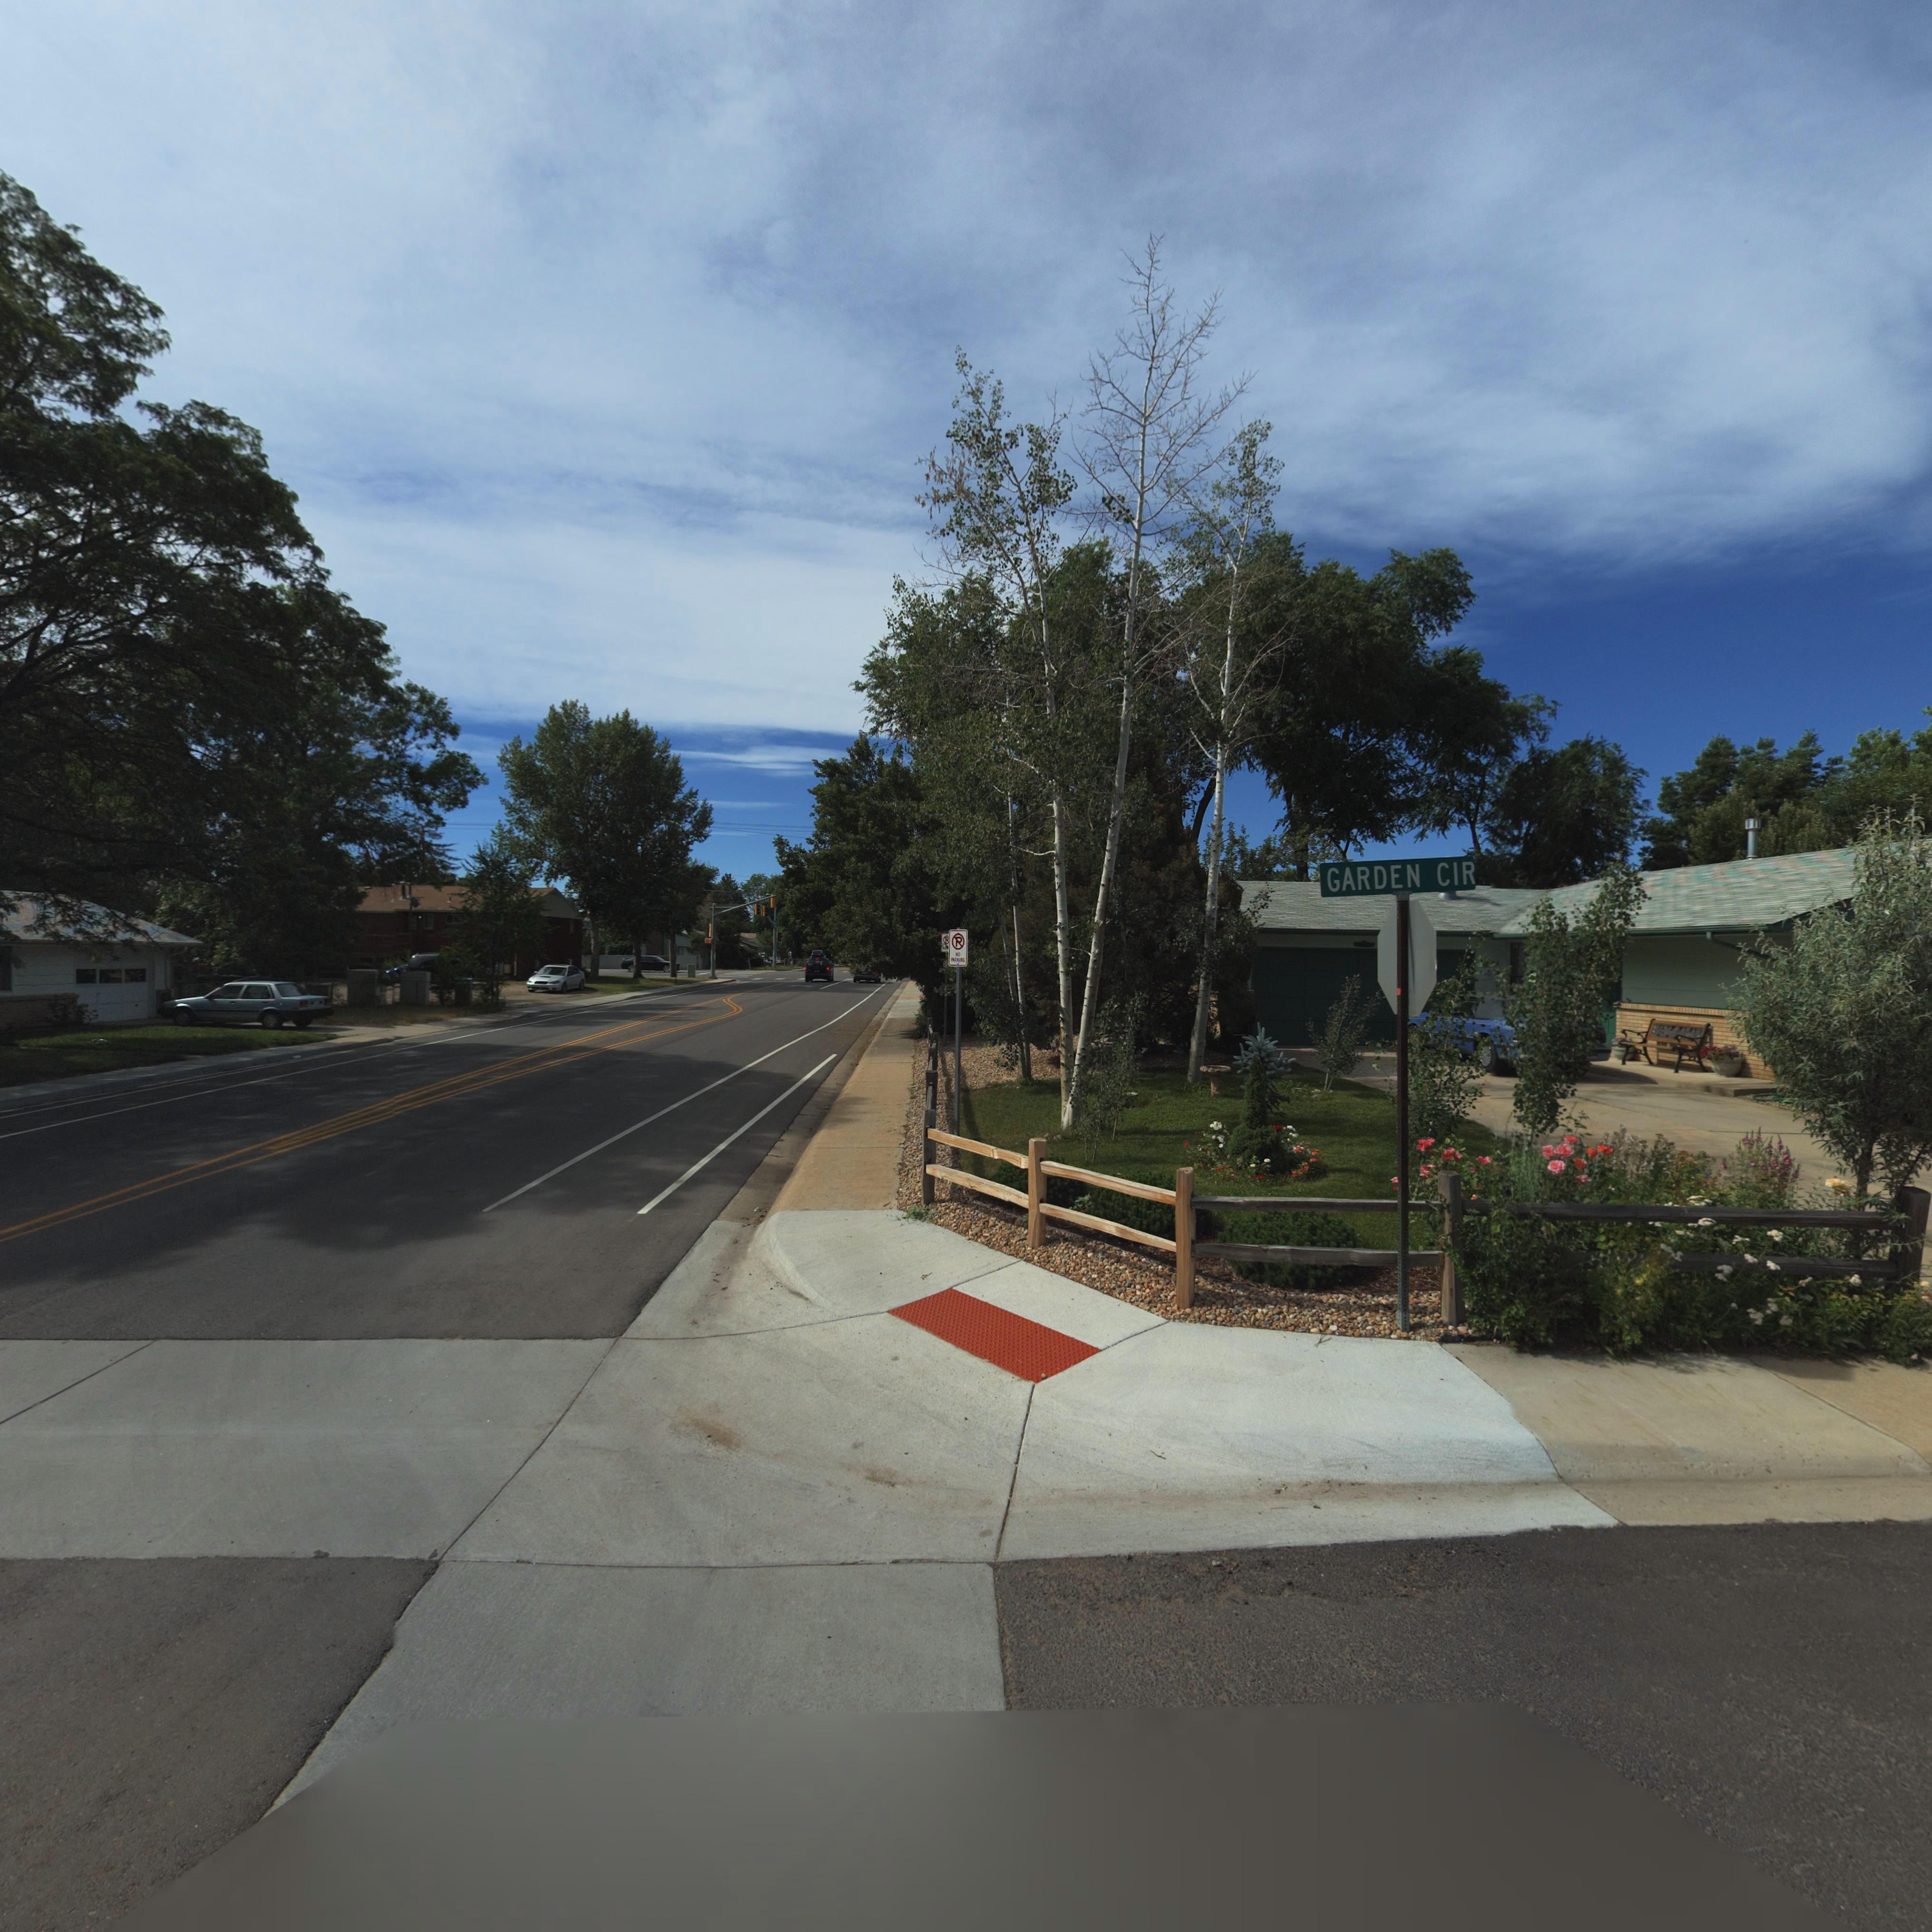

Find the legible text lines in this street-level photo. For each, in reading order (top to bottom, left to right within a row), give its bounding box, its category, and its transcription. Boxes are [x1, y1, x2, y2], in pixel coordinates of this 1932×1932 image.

[1326, 860, 1476, 892] StreetName: GARDEN CIR